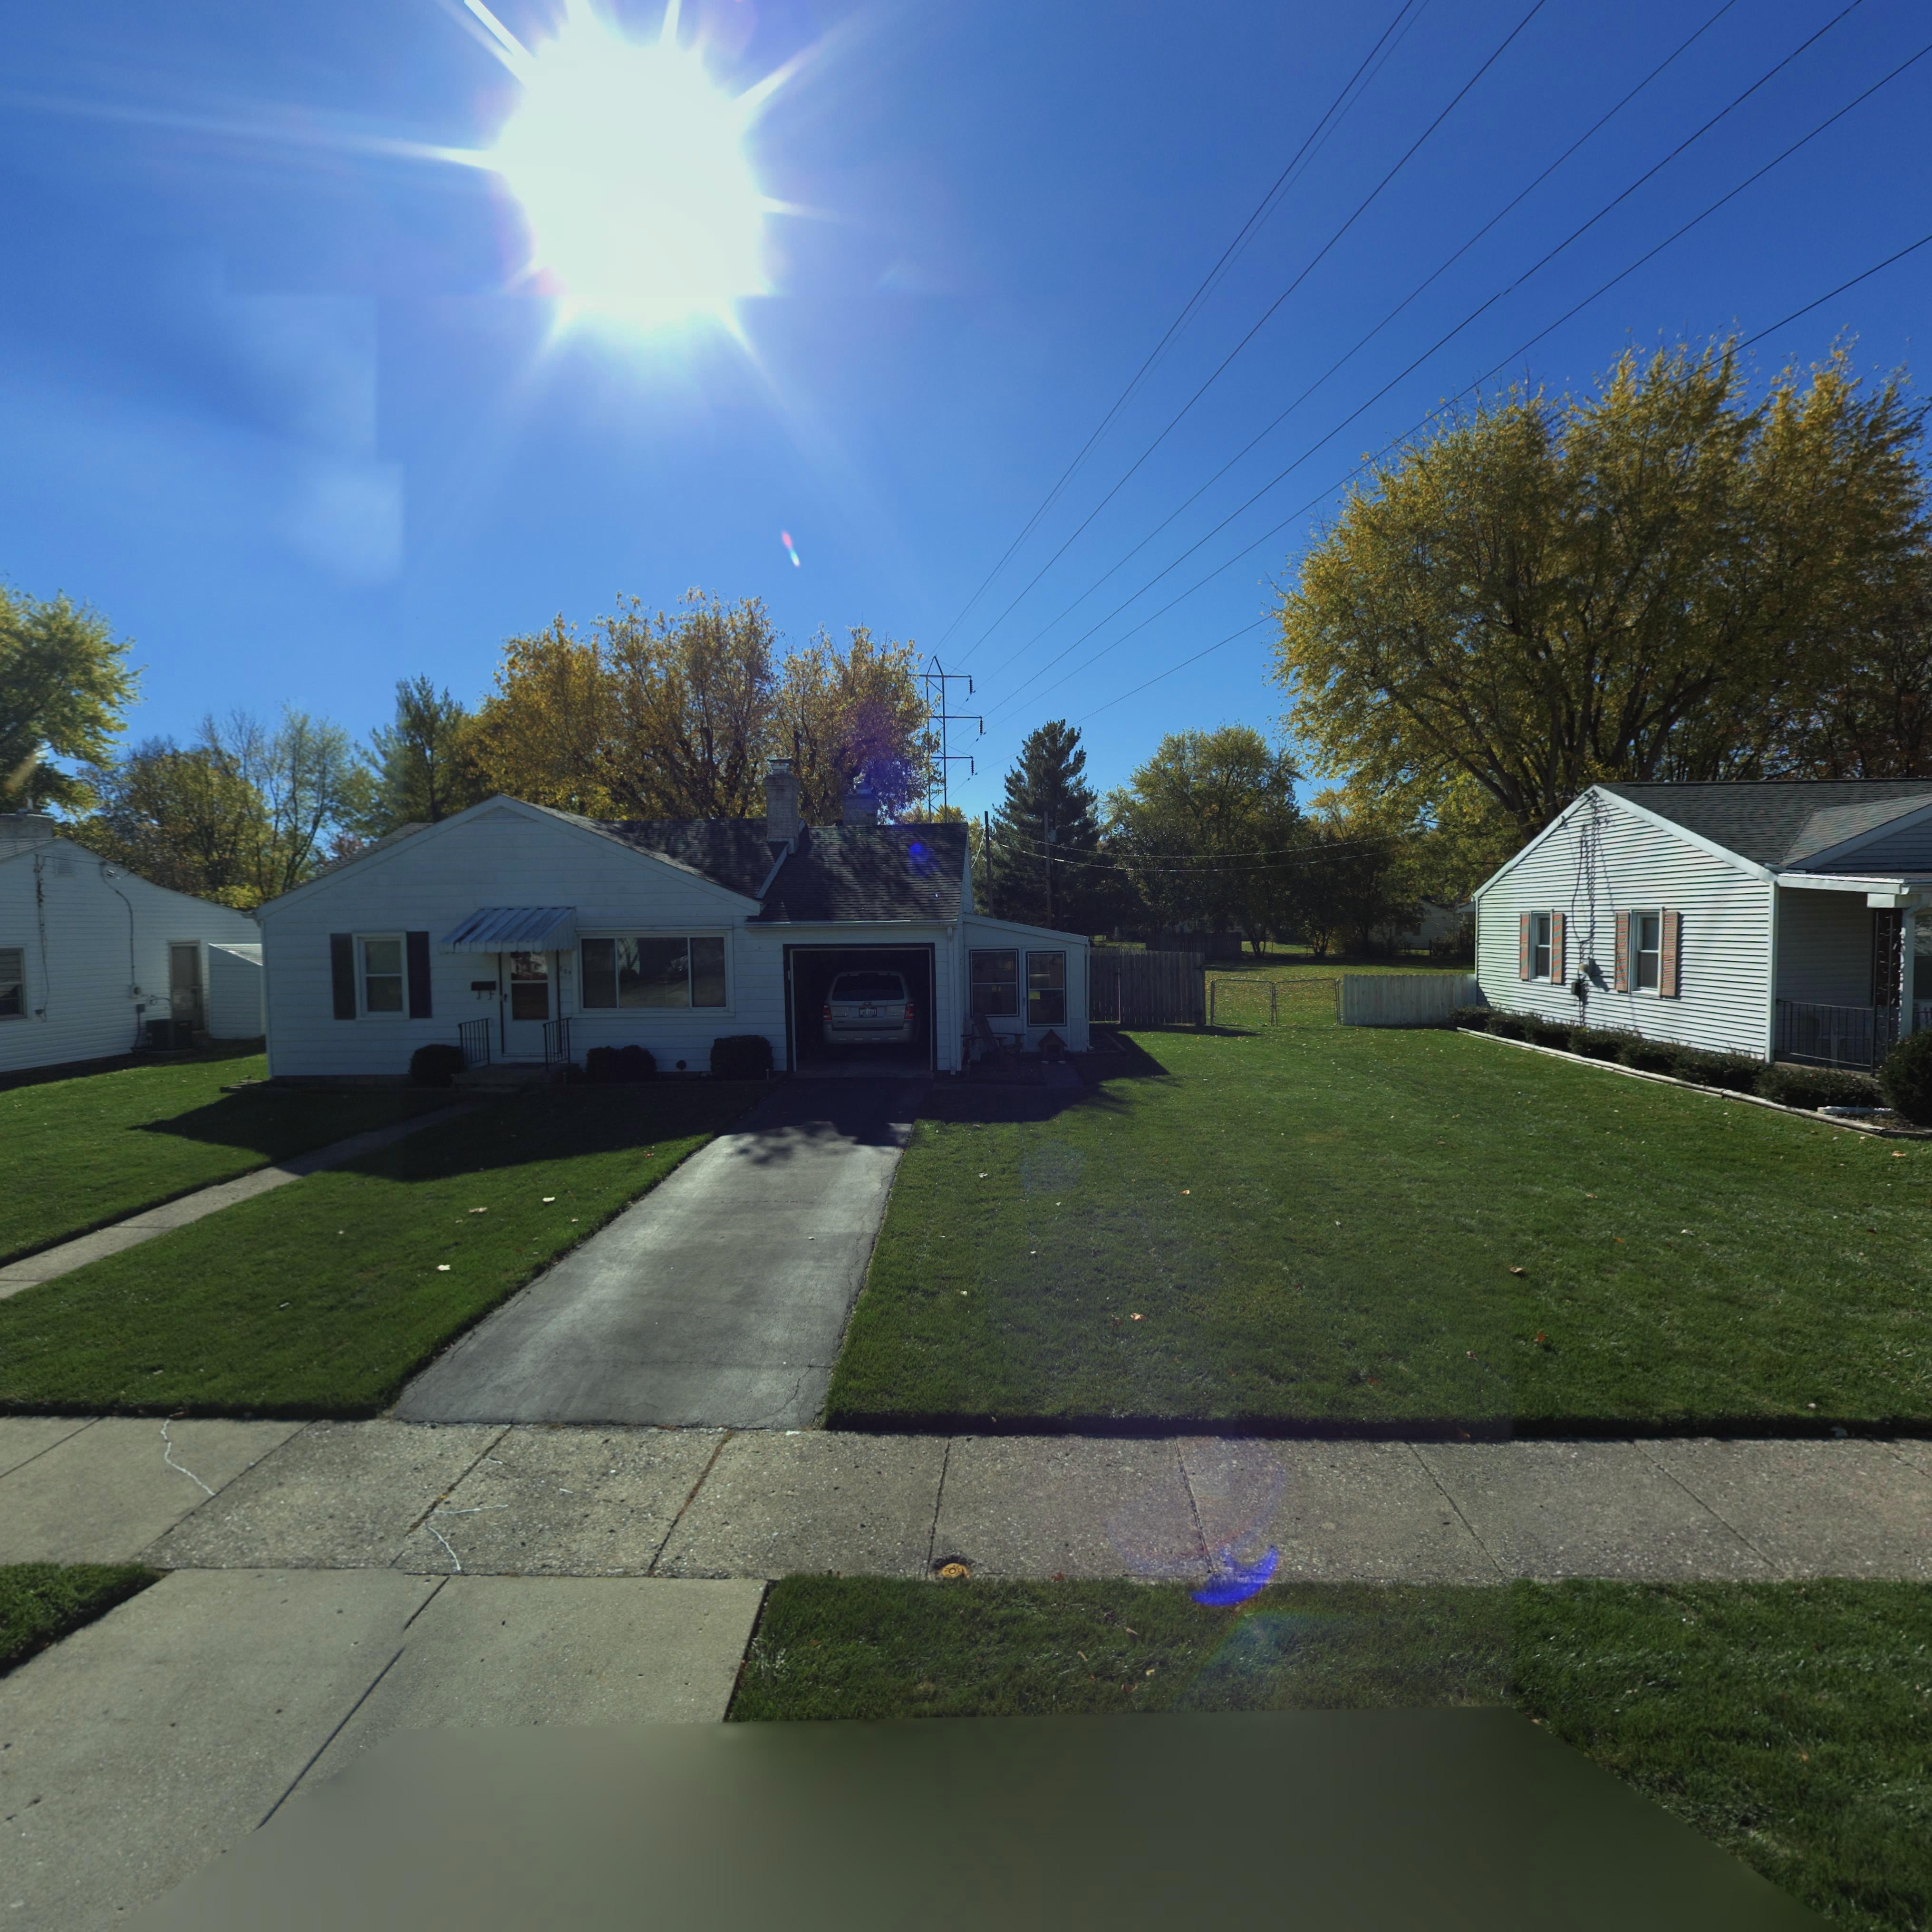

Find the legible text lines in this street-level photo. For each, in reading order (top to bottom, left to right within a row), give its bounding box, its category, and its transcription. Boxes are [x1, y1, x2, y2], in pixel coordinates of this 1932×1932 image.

[558, 966, 572, 977] StreetNumber: 209